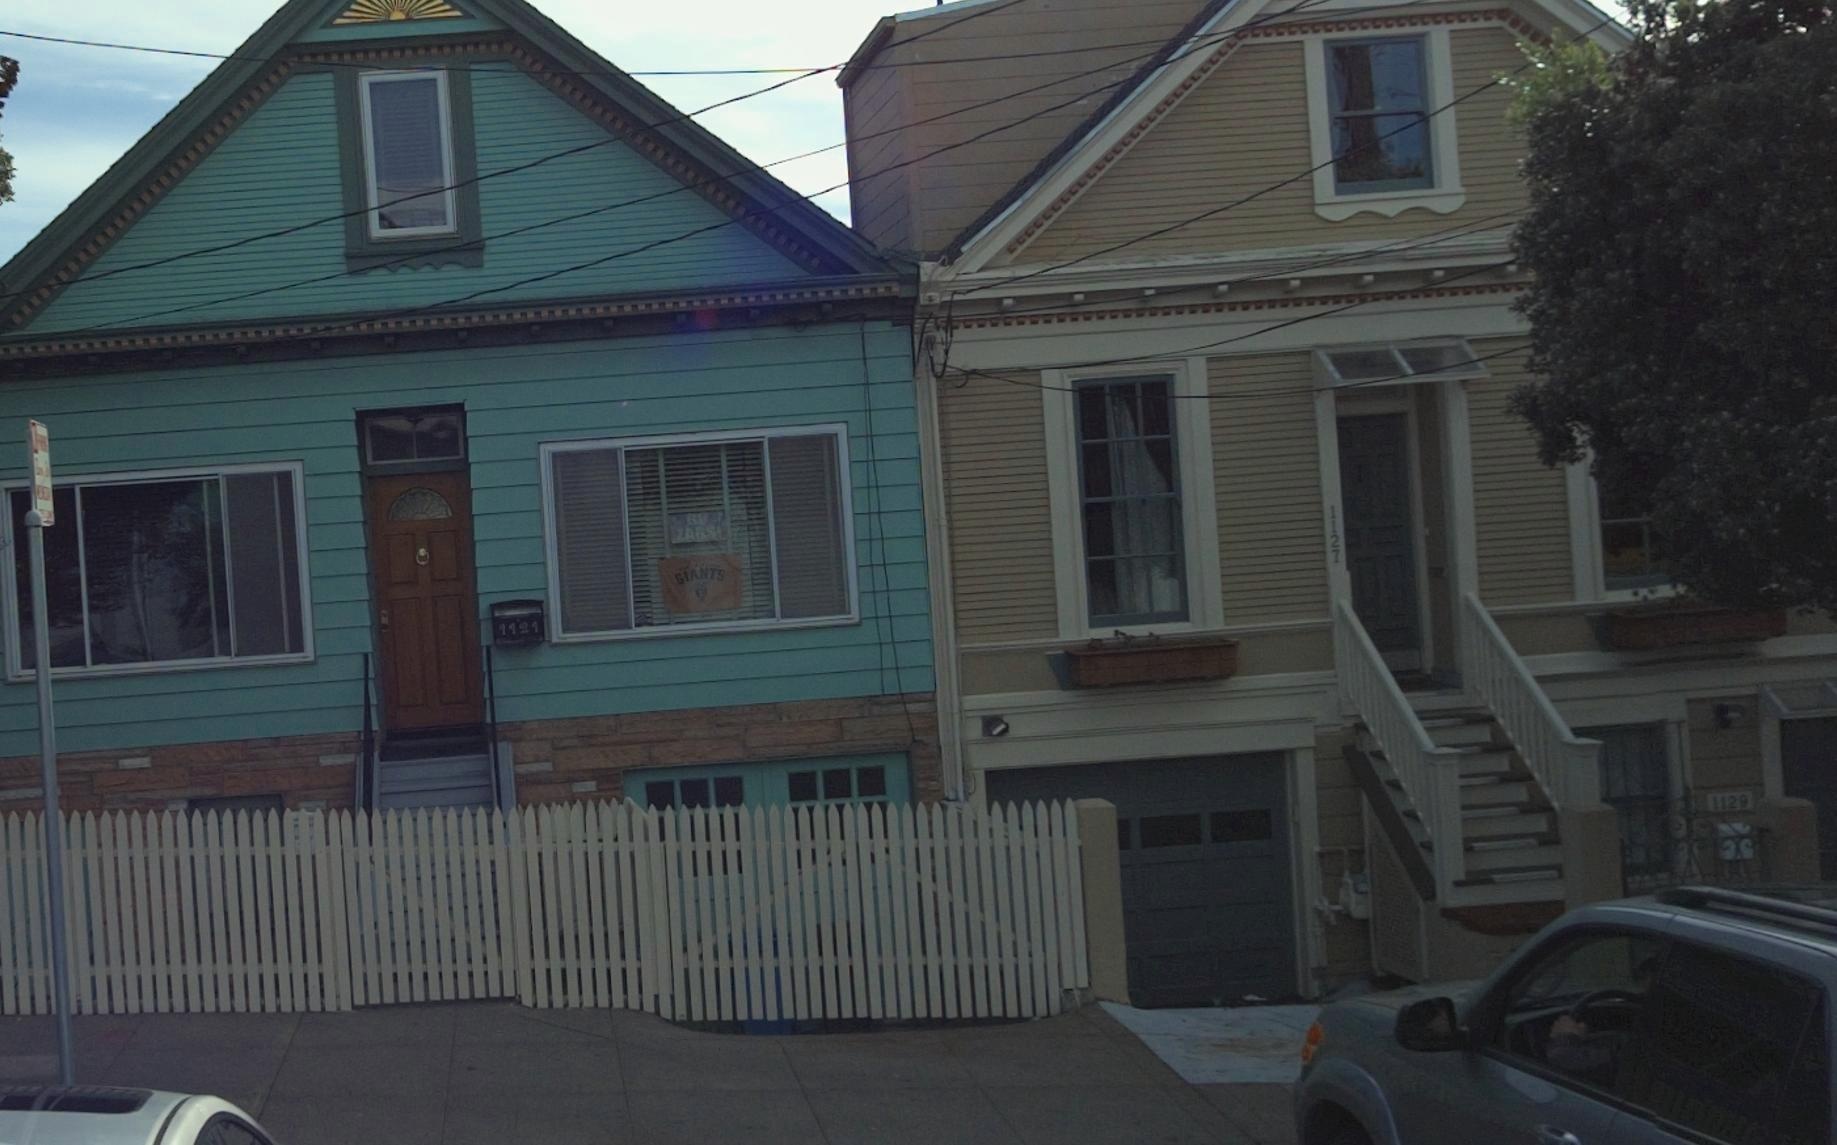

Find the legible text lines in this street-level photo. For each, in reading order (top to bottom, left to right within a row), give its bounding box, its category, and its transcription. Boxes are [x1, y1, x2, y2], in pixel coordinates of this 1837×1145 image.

[686, 512, 709, 529] None: GO
[673, 524, 722, 541] None: ZA*S!
[1328, 504, 1342, 565] StreetNumber: 1127
[672, 565, 728, 586] None: GIANTS
[498, 620, 539, 637] StreetNumber: 1121
[1711, 793, 1750, 812] StreetNumber: 1129